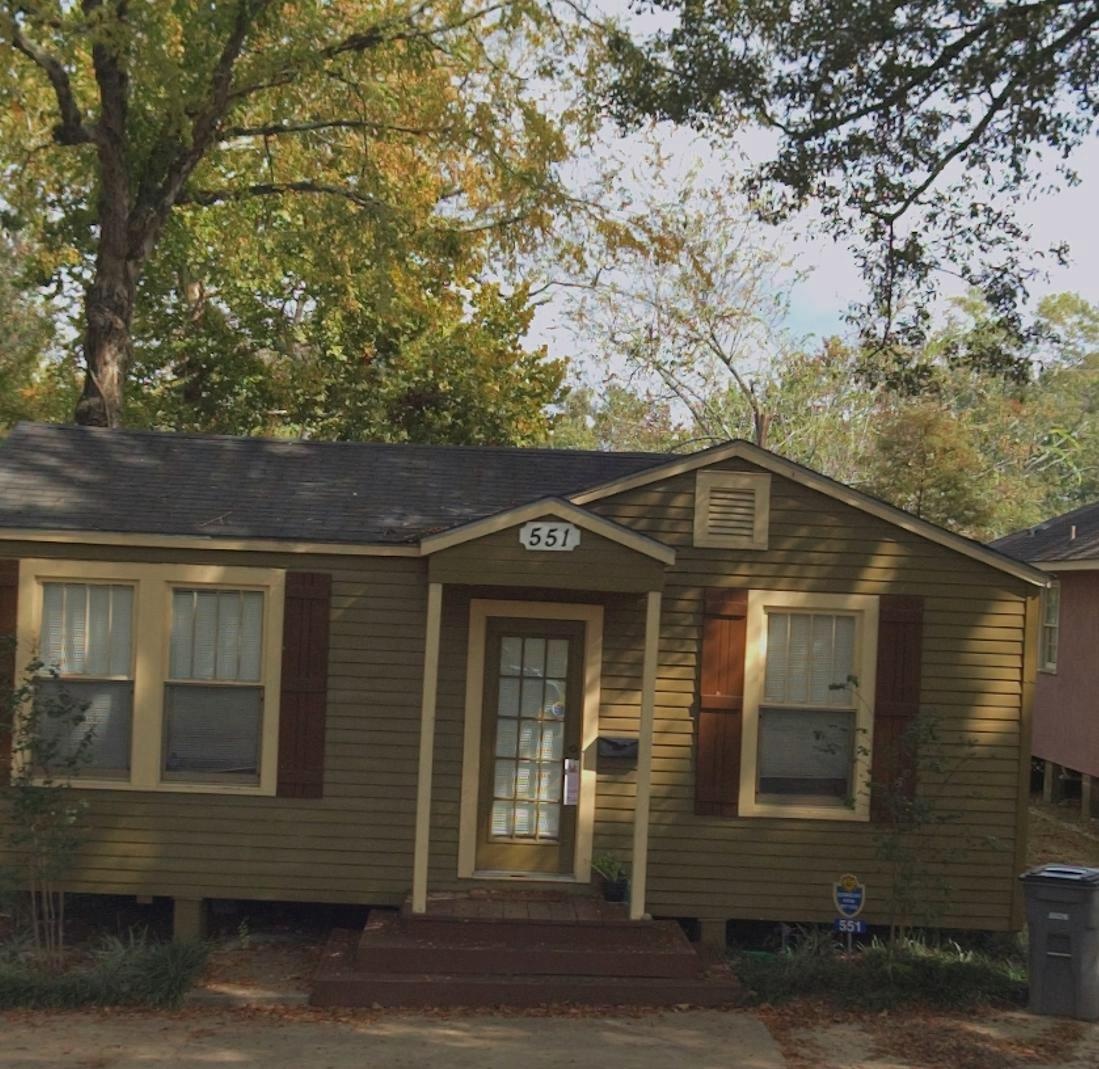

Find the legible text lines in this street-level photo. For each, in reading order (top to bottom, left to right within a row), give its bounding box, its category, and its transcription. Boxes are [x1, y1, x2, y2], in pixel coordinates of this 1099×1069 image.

[528, 525, 573, 549] StreetNumber: 551
[835, 918, 863, 933] StreetNumber: 551